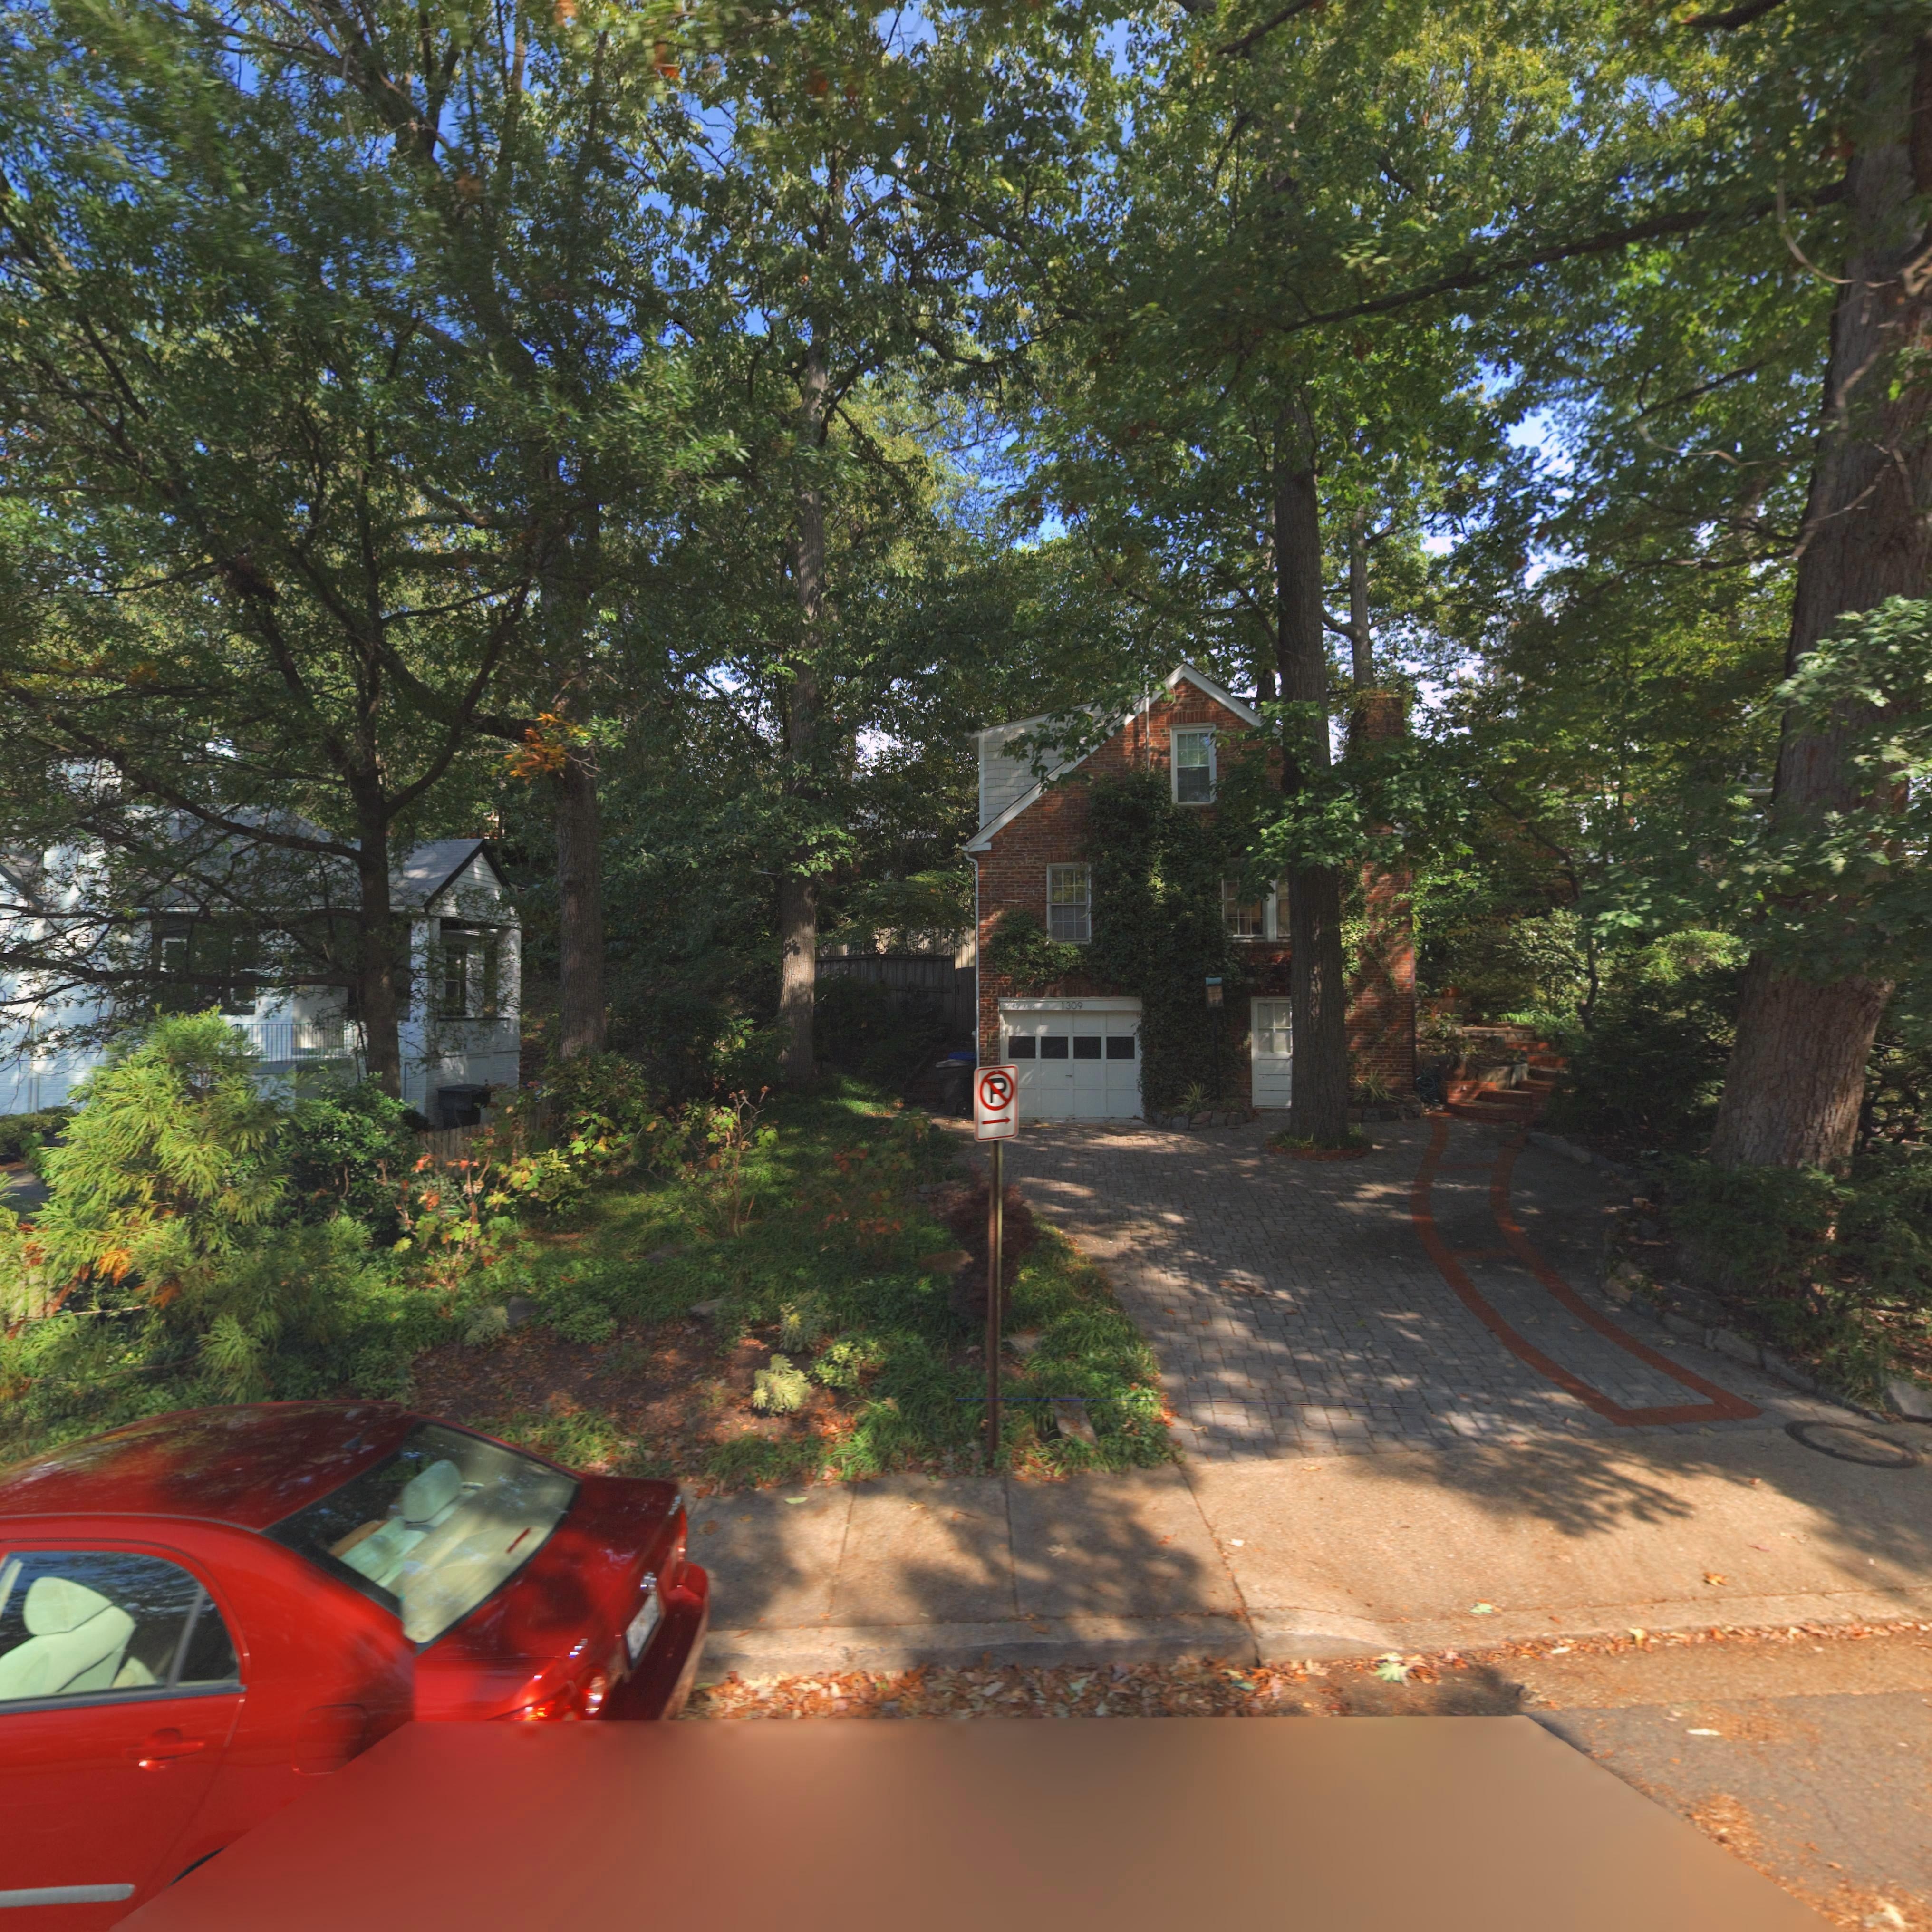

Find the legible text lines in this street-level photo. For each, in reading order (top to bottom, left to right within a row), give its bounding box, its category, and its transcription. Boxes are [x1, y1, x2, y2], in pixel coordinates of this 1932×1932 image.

[1061, 1001, 1083, 1010] StreetNumber: 1309